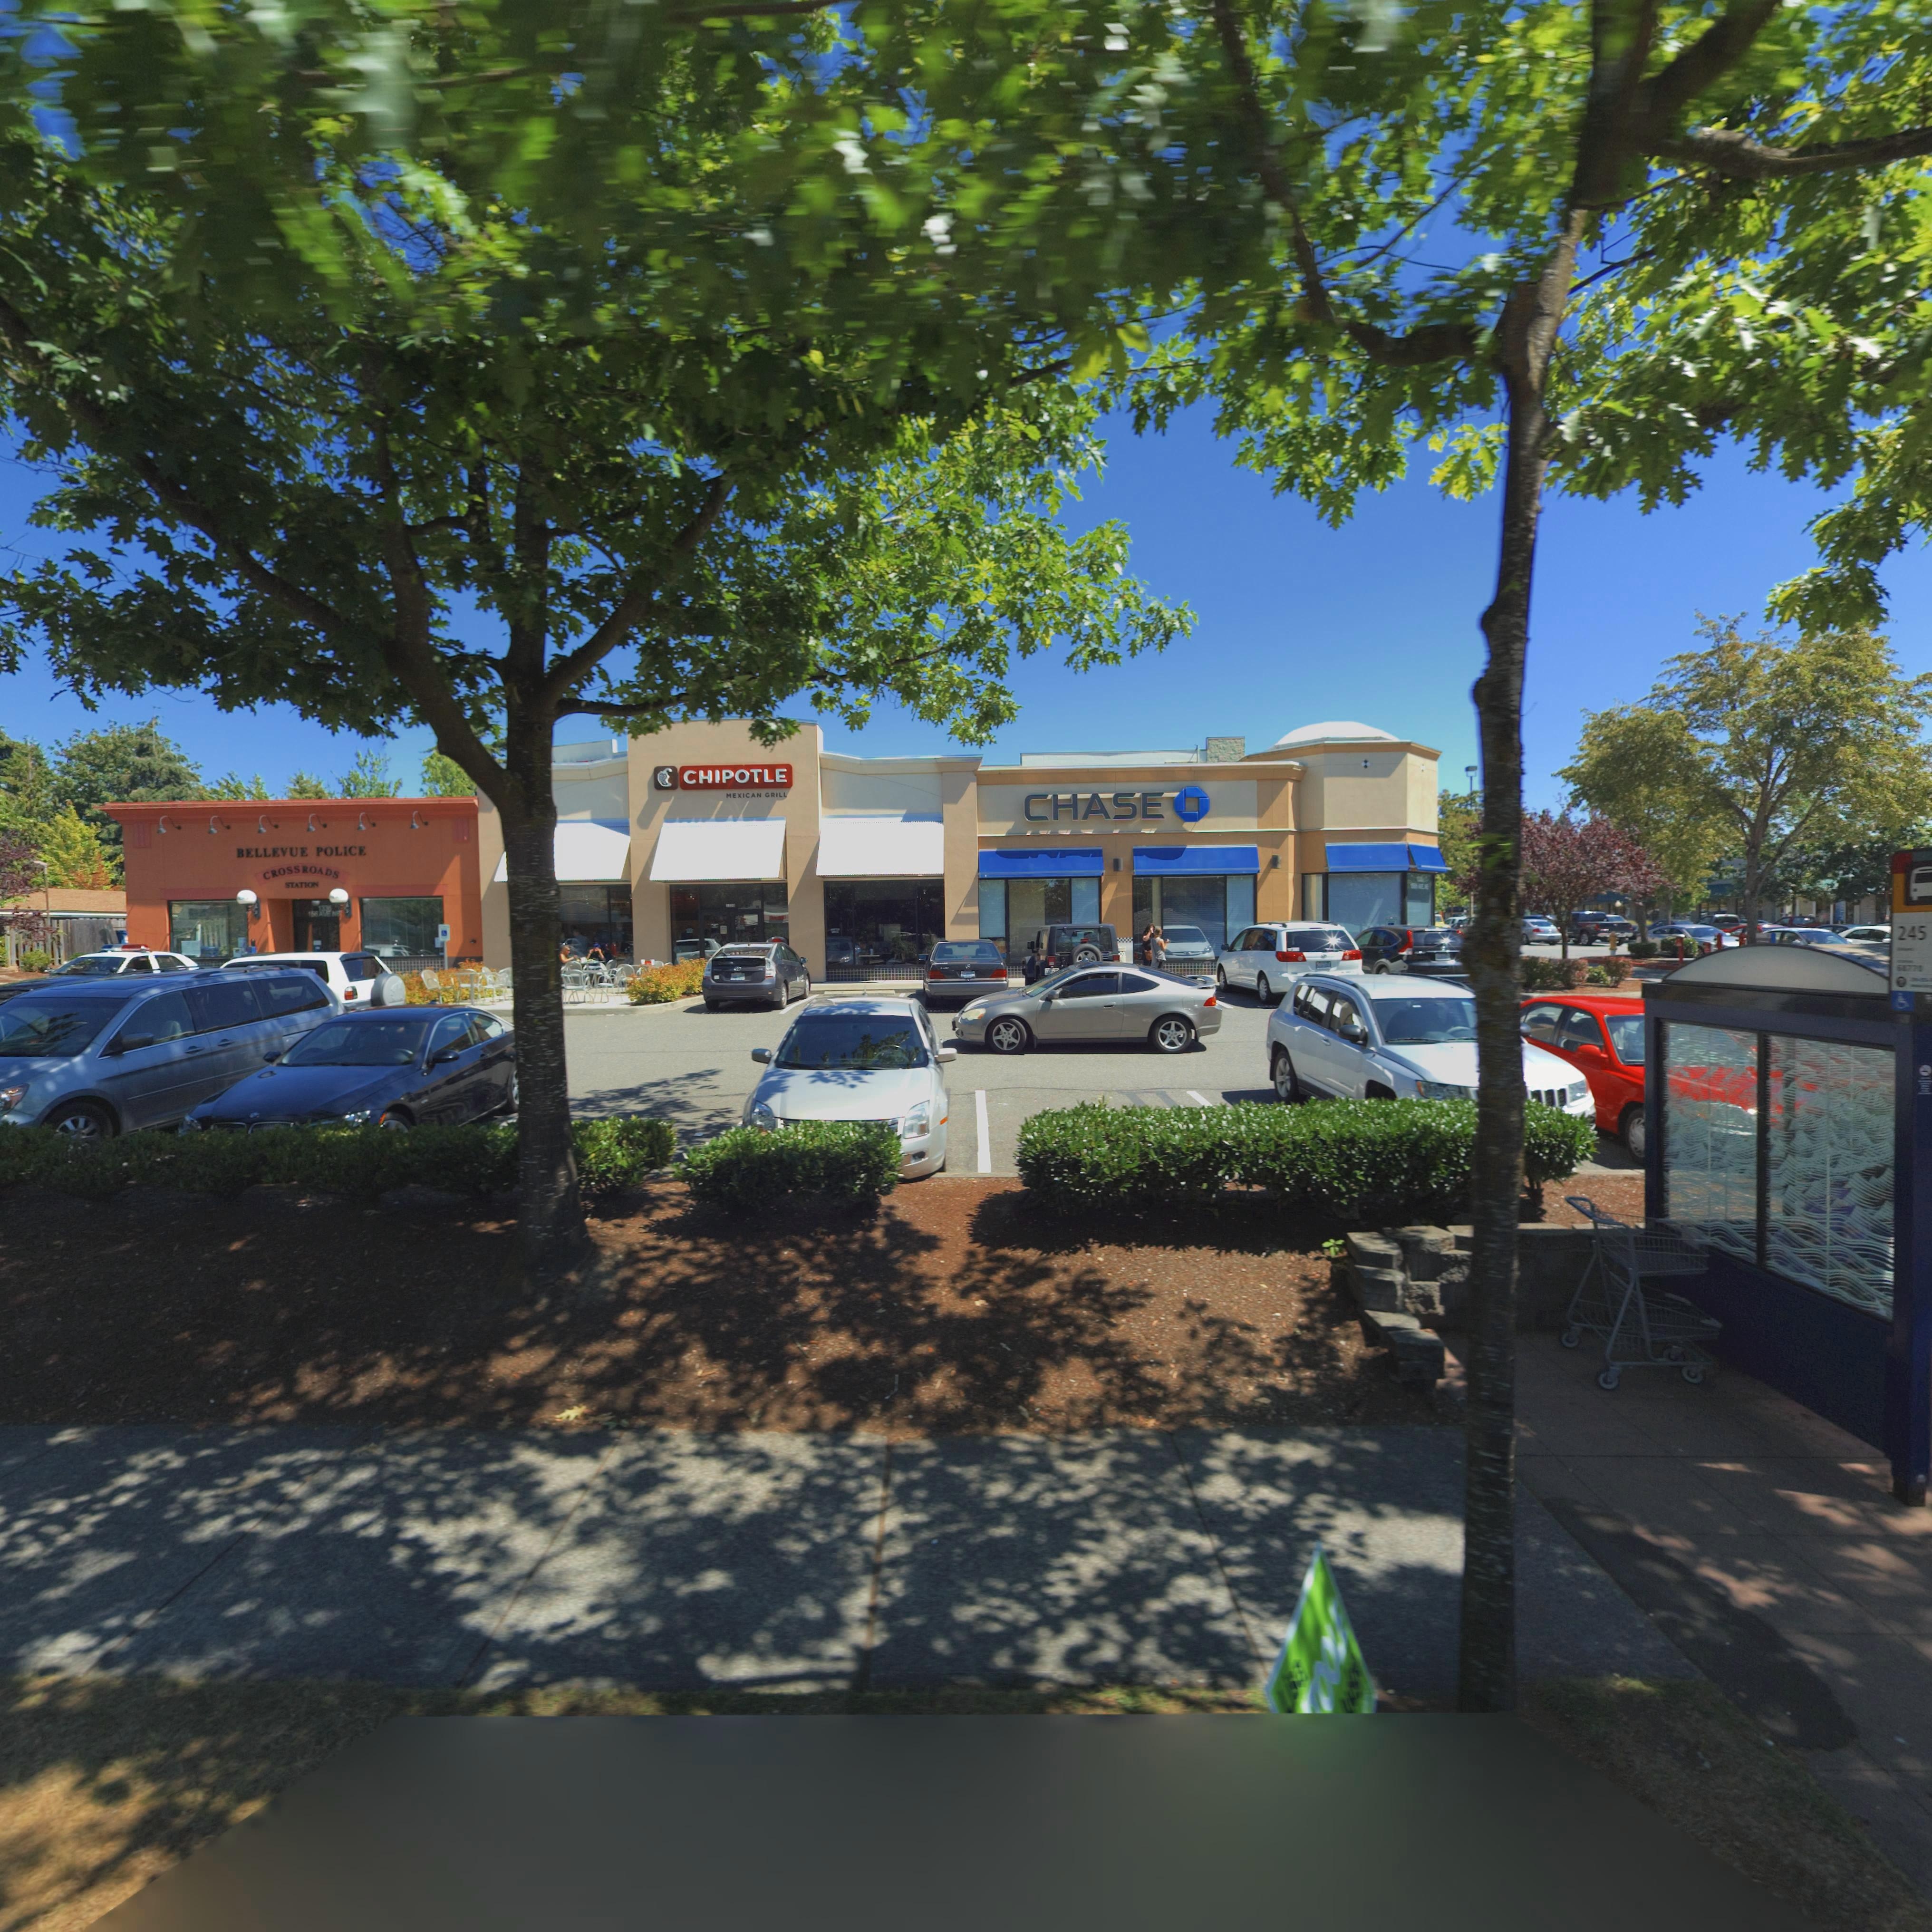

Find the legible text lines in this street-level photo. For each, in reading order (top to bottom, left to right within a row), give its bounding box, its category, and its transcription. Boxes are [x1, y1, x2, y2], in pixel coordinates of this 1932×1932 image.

[681, 768, 788, 784] BusinessName: CHIPOTLE
[725, 791, 788, 798] BusinessName: MEXICAN GRILL
[1023, 791, 1165, 821] BusinessName: CHASE
[236, 846, 366, 858] BusinessName: BELLEVUE POLICE